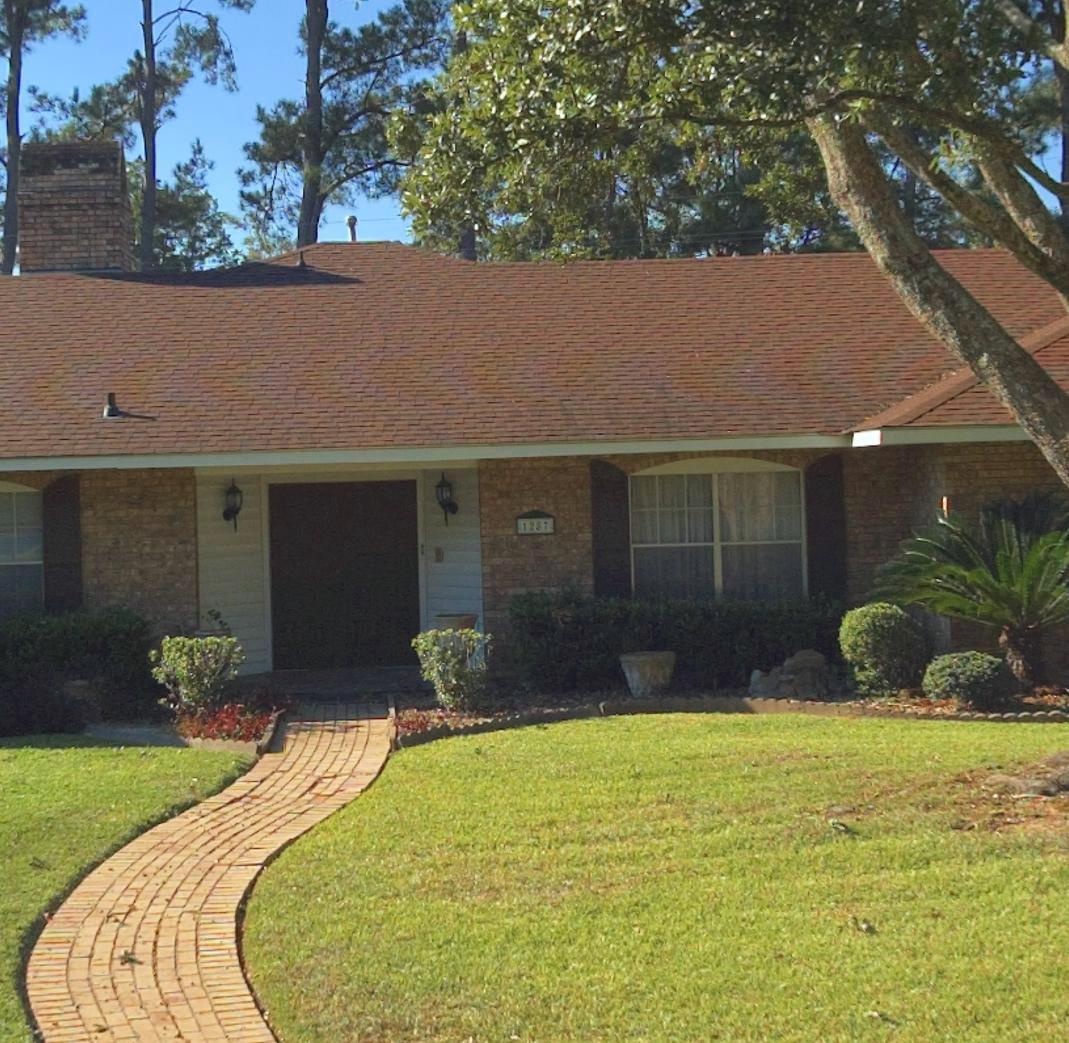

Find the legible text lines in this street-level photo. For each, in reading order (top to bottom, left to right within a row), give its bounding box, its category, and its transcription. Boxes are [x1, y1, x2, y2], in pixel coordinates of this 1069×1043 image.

[522, 521, 549, 532] StreetNumber: 1278